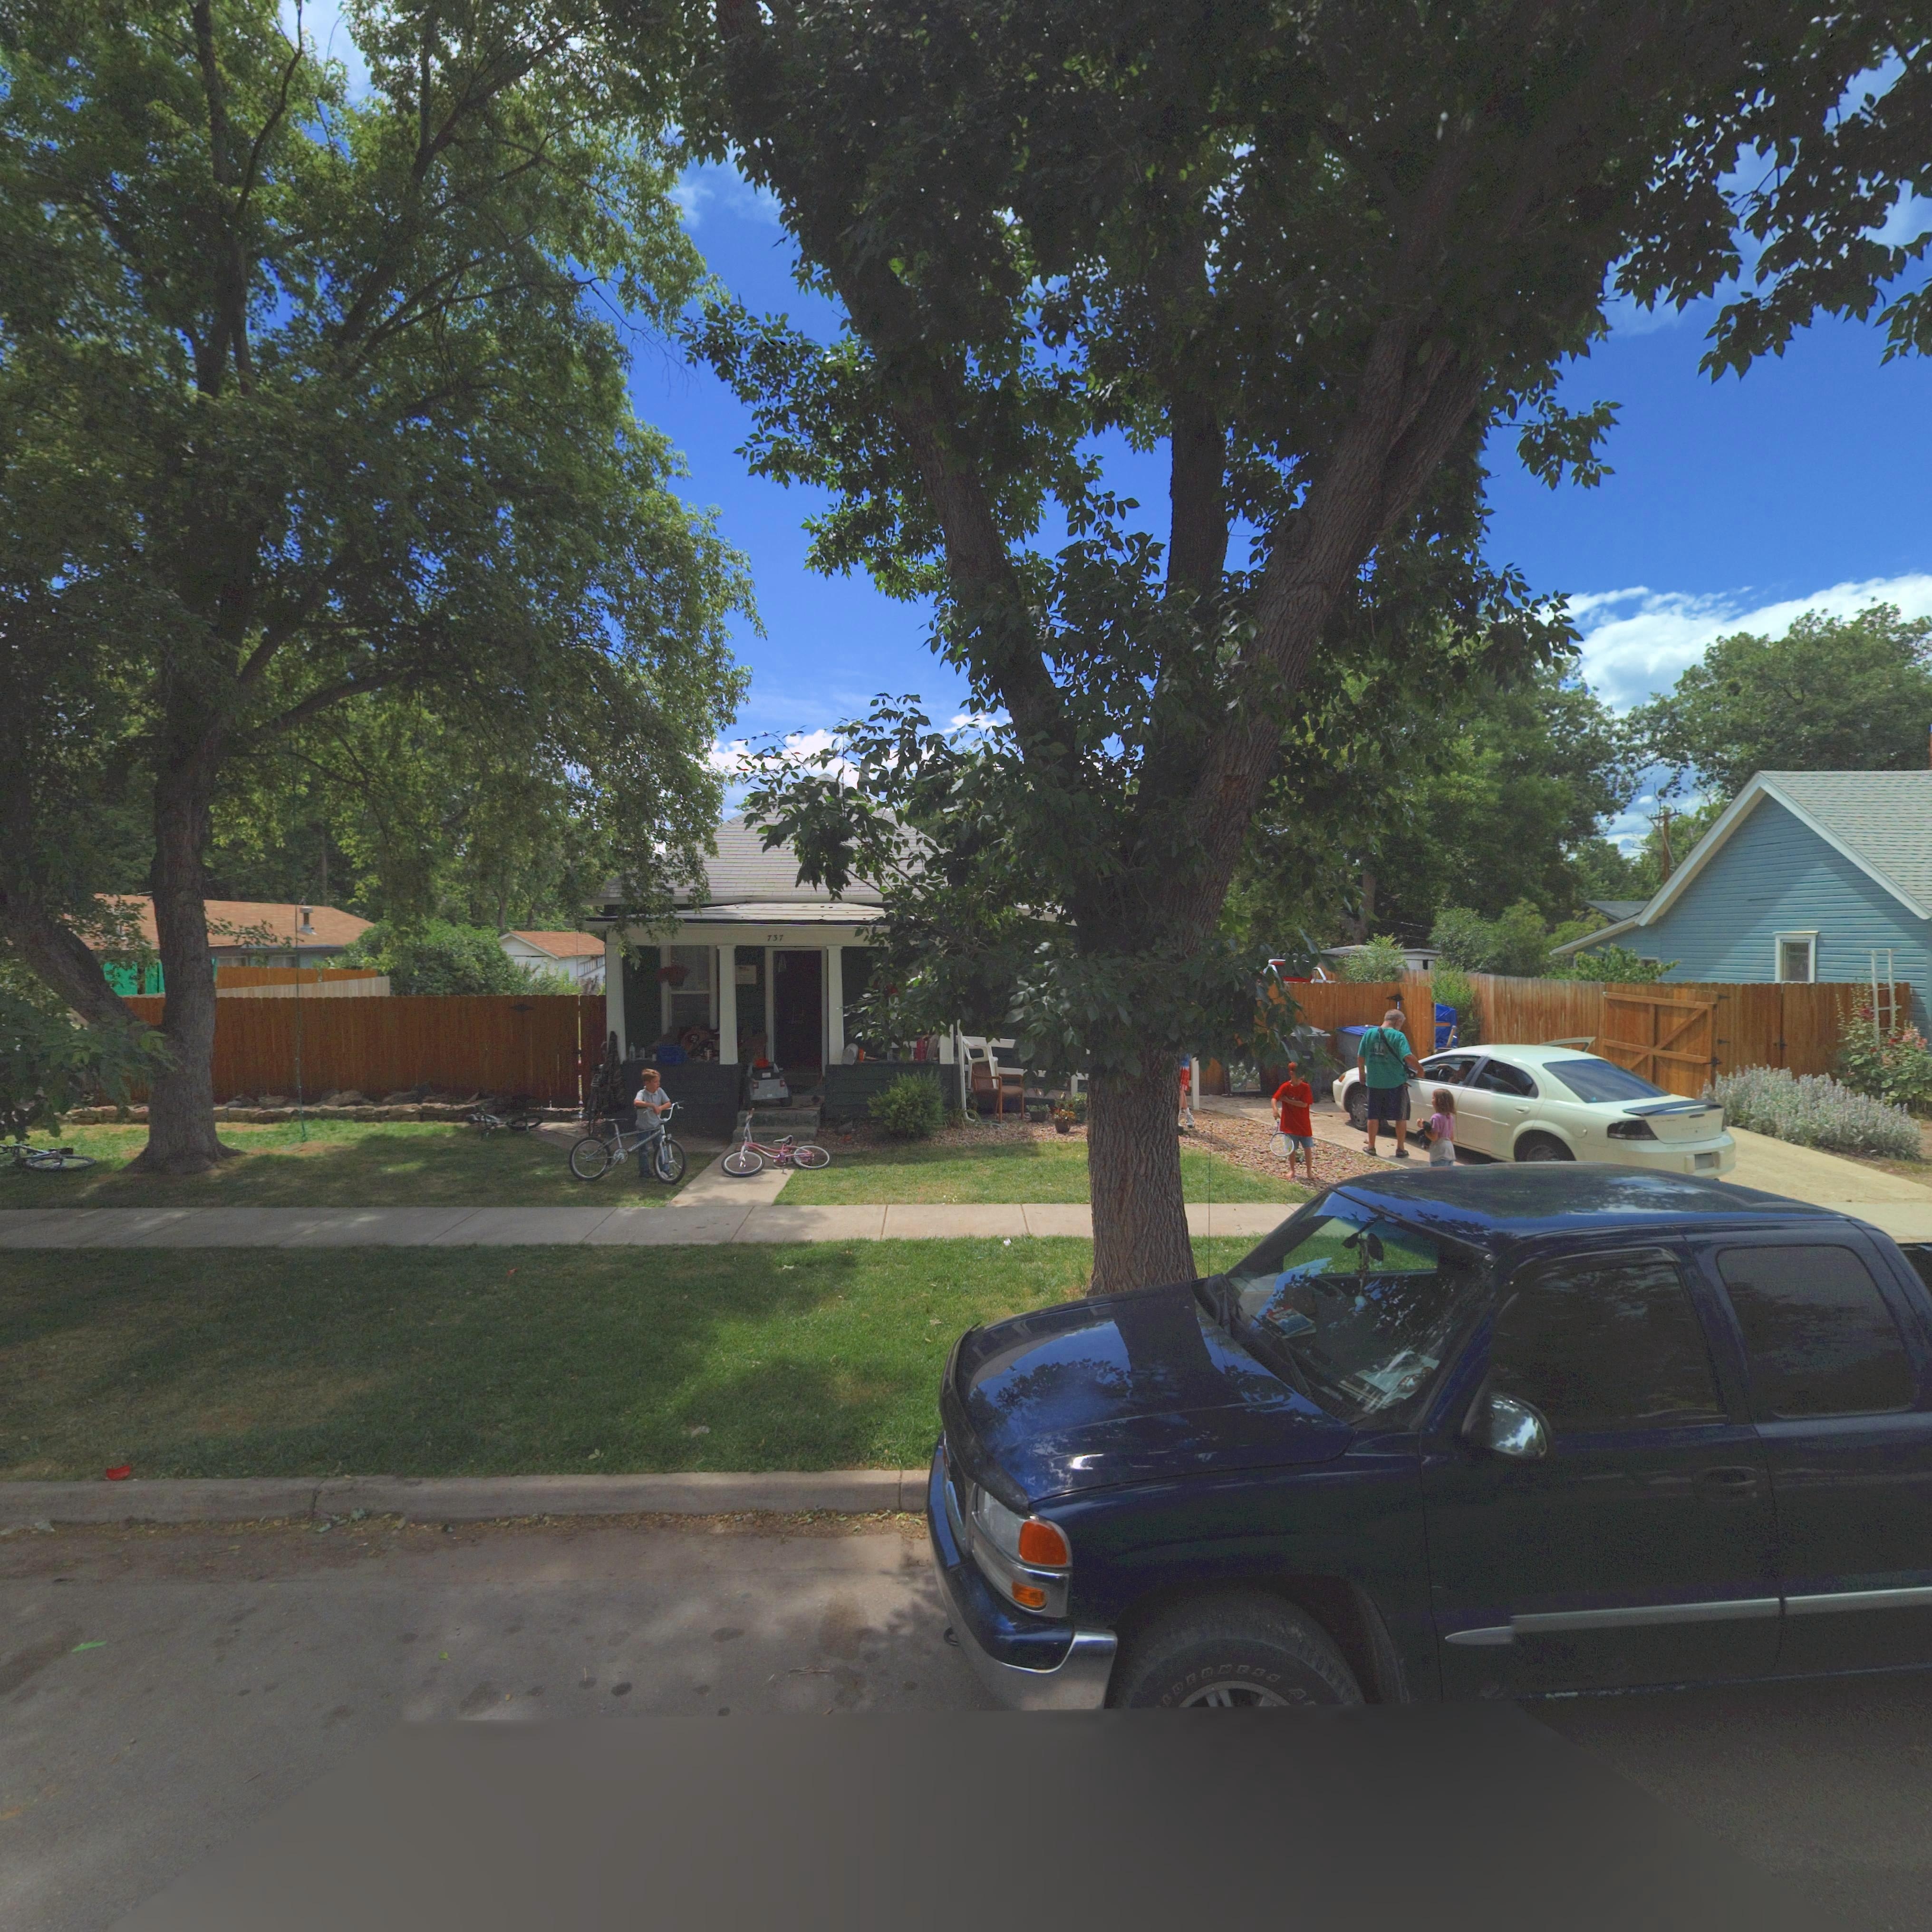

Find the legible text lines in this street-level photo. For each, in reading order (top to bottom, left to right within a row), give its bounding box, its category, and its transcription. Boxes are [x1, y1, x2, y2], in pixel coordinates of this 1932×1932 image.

[766, 934, 783, 941] StreetNumber: 737